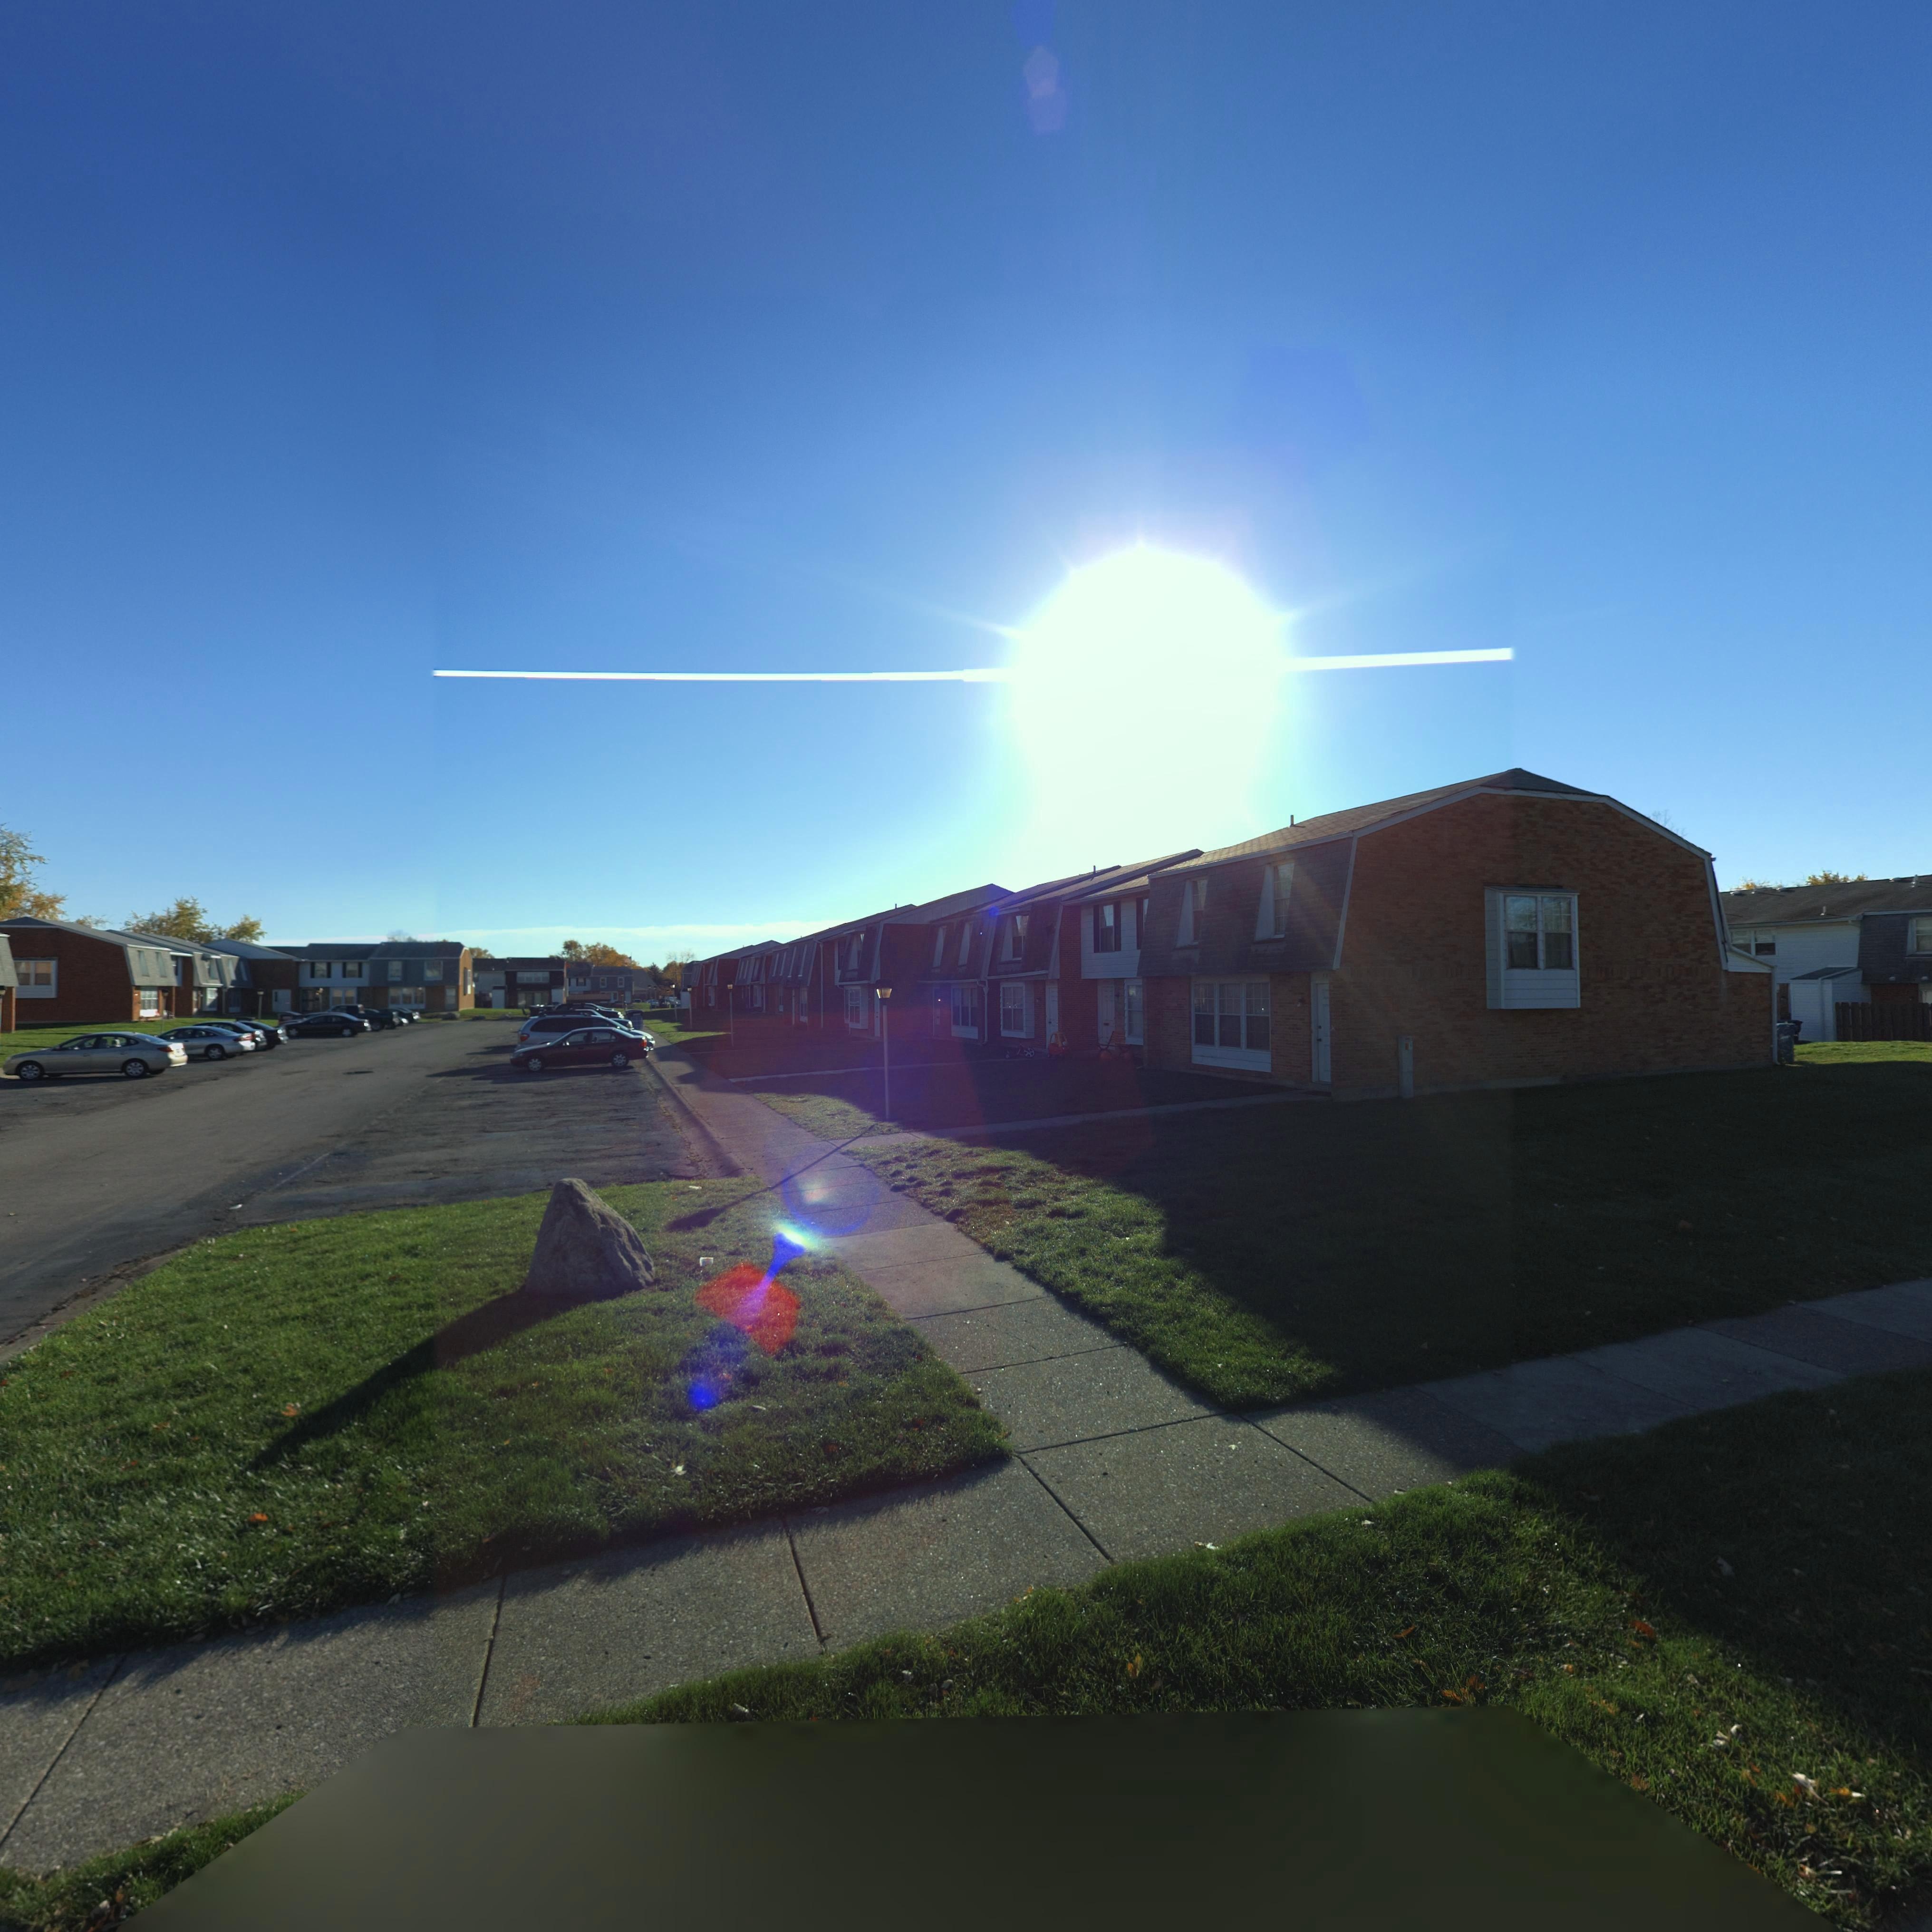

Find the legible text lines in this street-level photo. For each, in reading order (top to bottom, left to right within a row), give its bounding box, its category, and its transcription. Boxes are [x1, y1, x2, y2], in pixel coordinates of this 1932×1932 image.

[1322, 973, 1328, 978] StreetNumber: 75